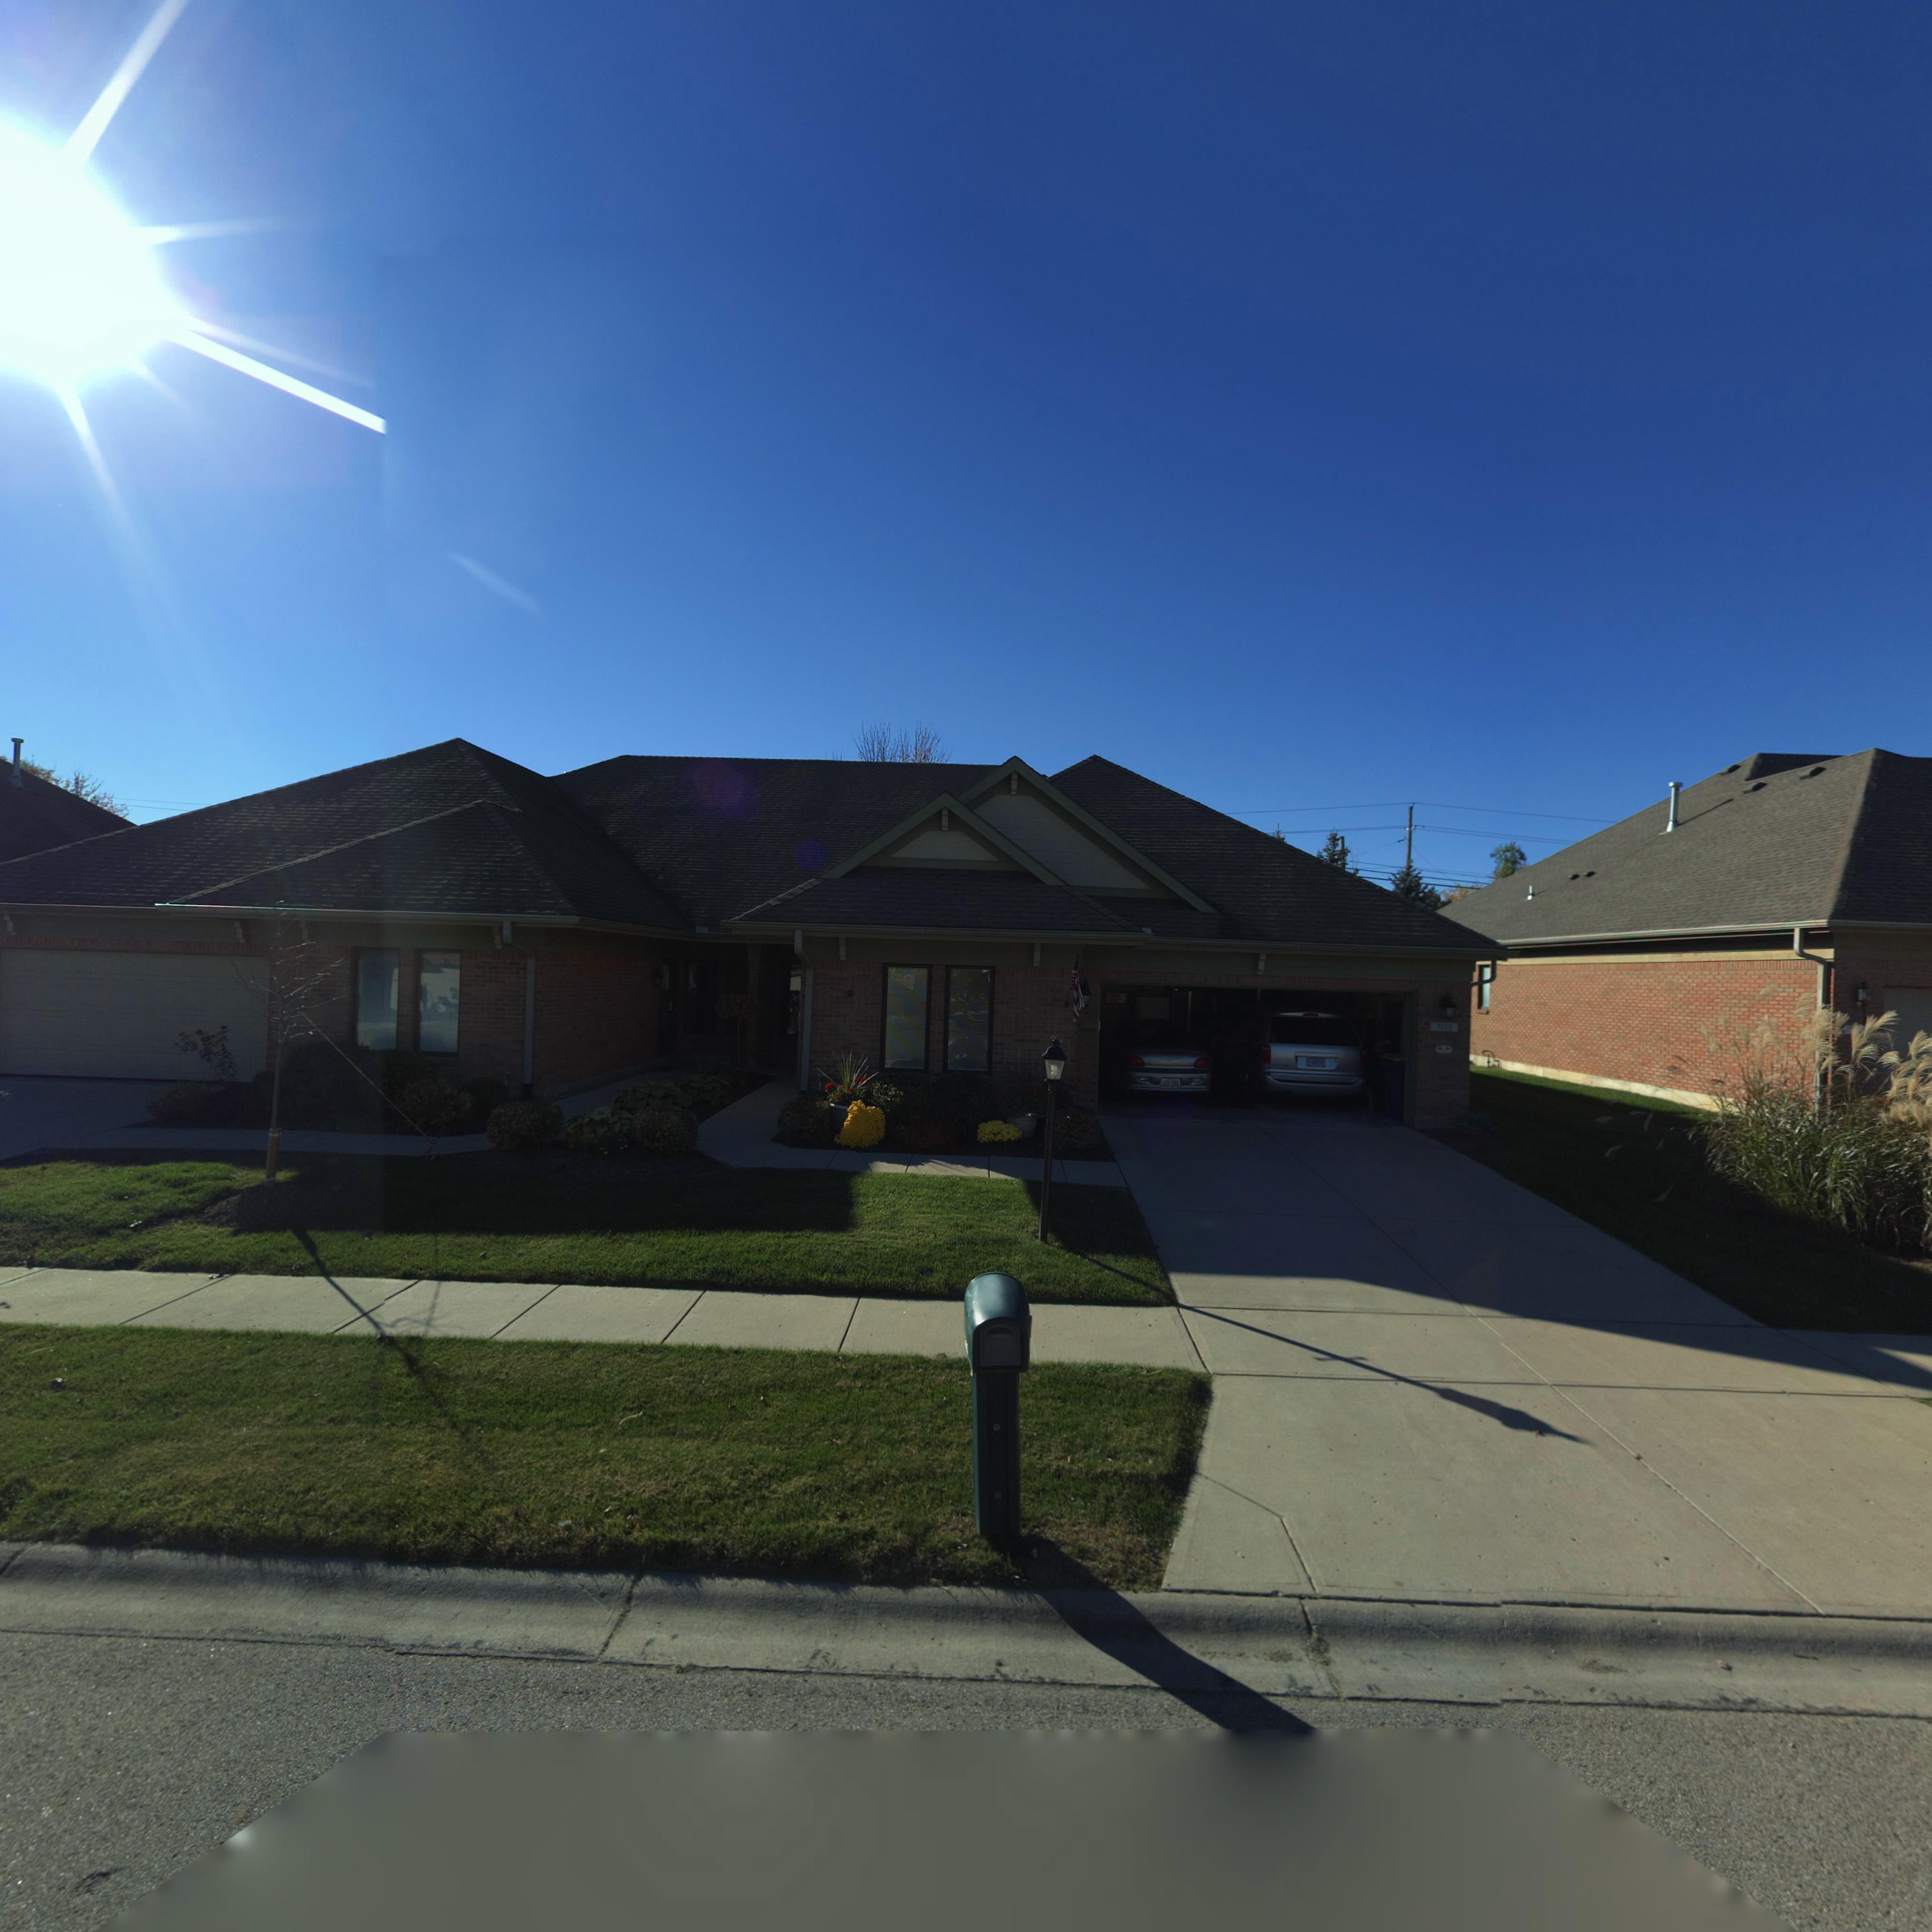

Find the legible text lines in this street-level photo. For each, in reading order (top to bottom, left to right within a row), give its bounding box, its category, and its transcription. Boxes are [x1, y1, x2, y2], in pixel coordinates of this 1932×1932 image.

[1436, 1023, 1452, 1031] StreetNumber: 7115